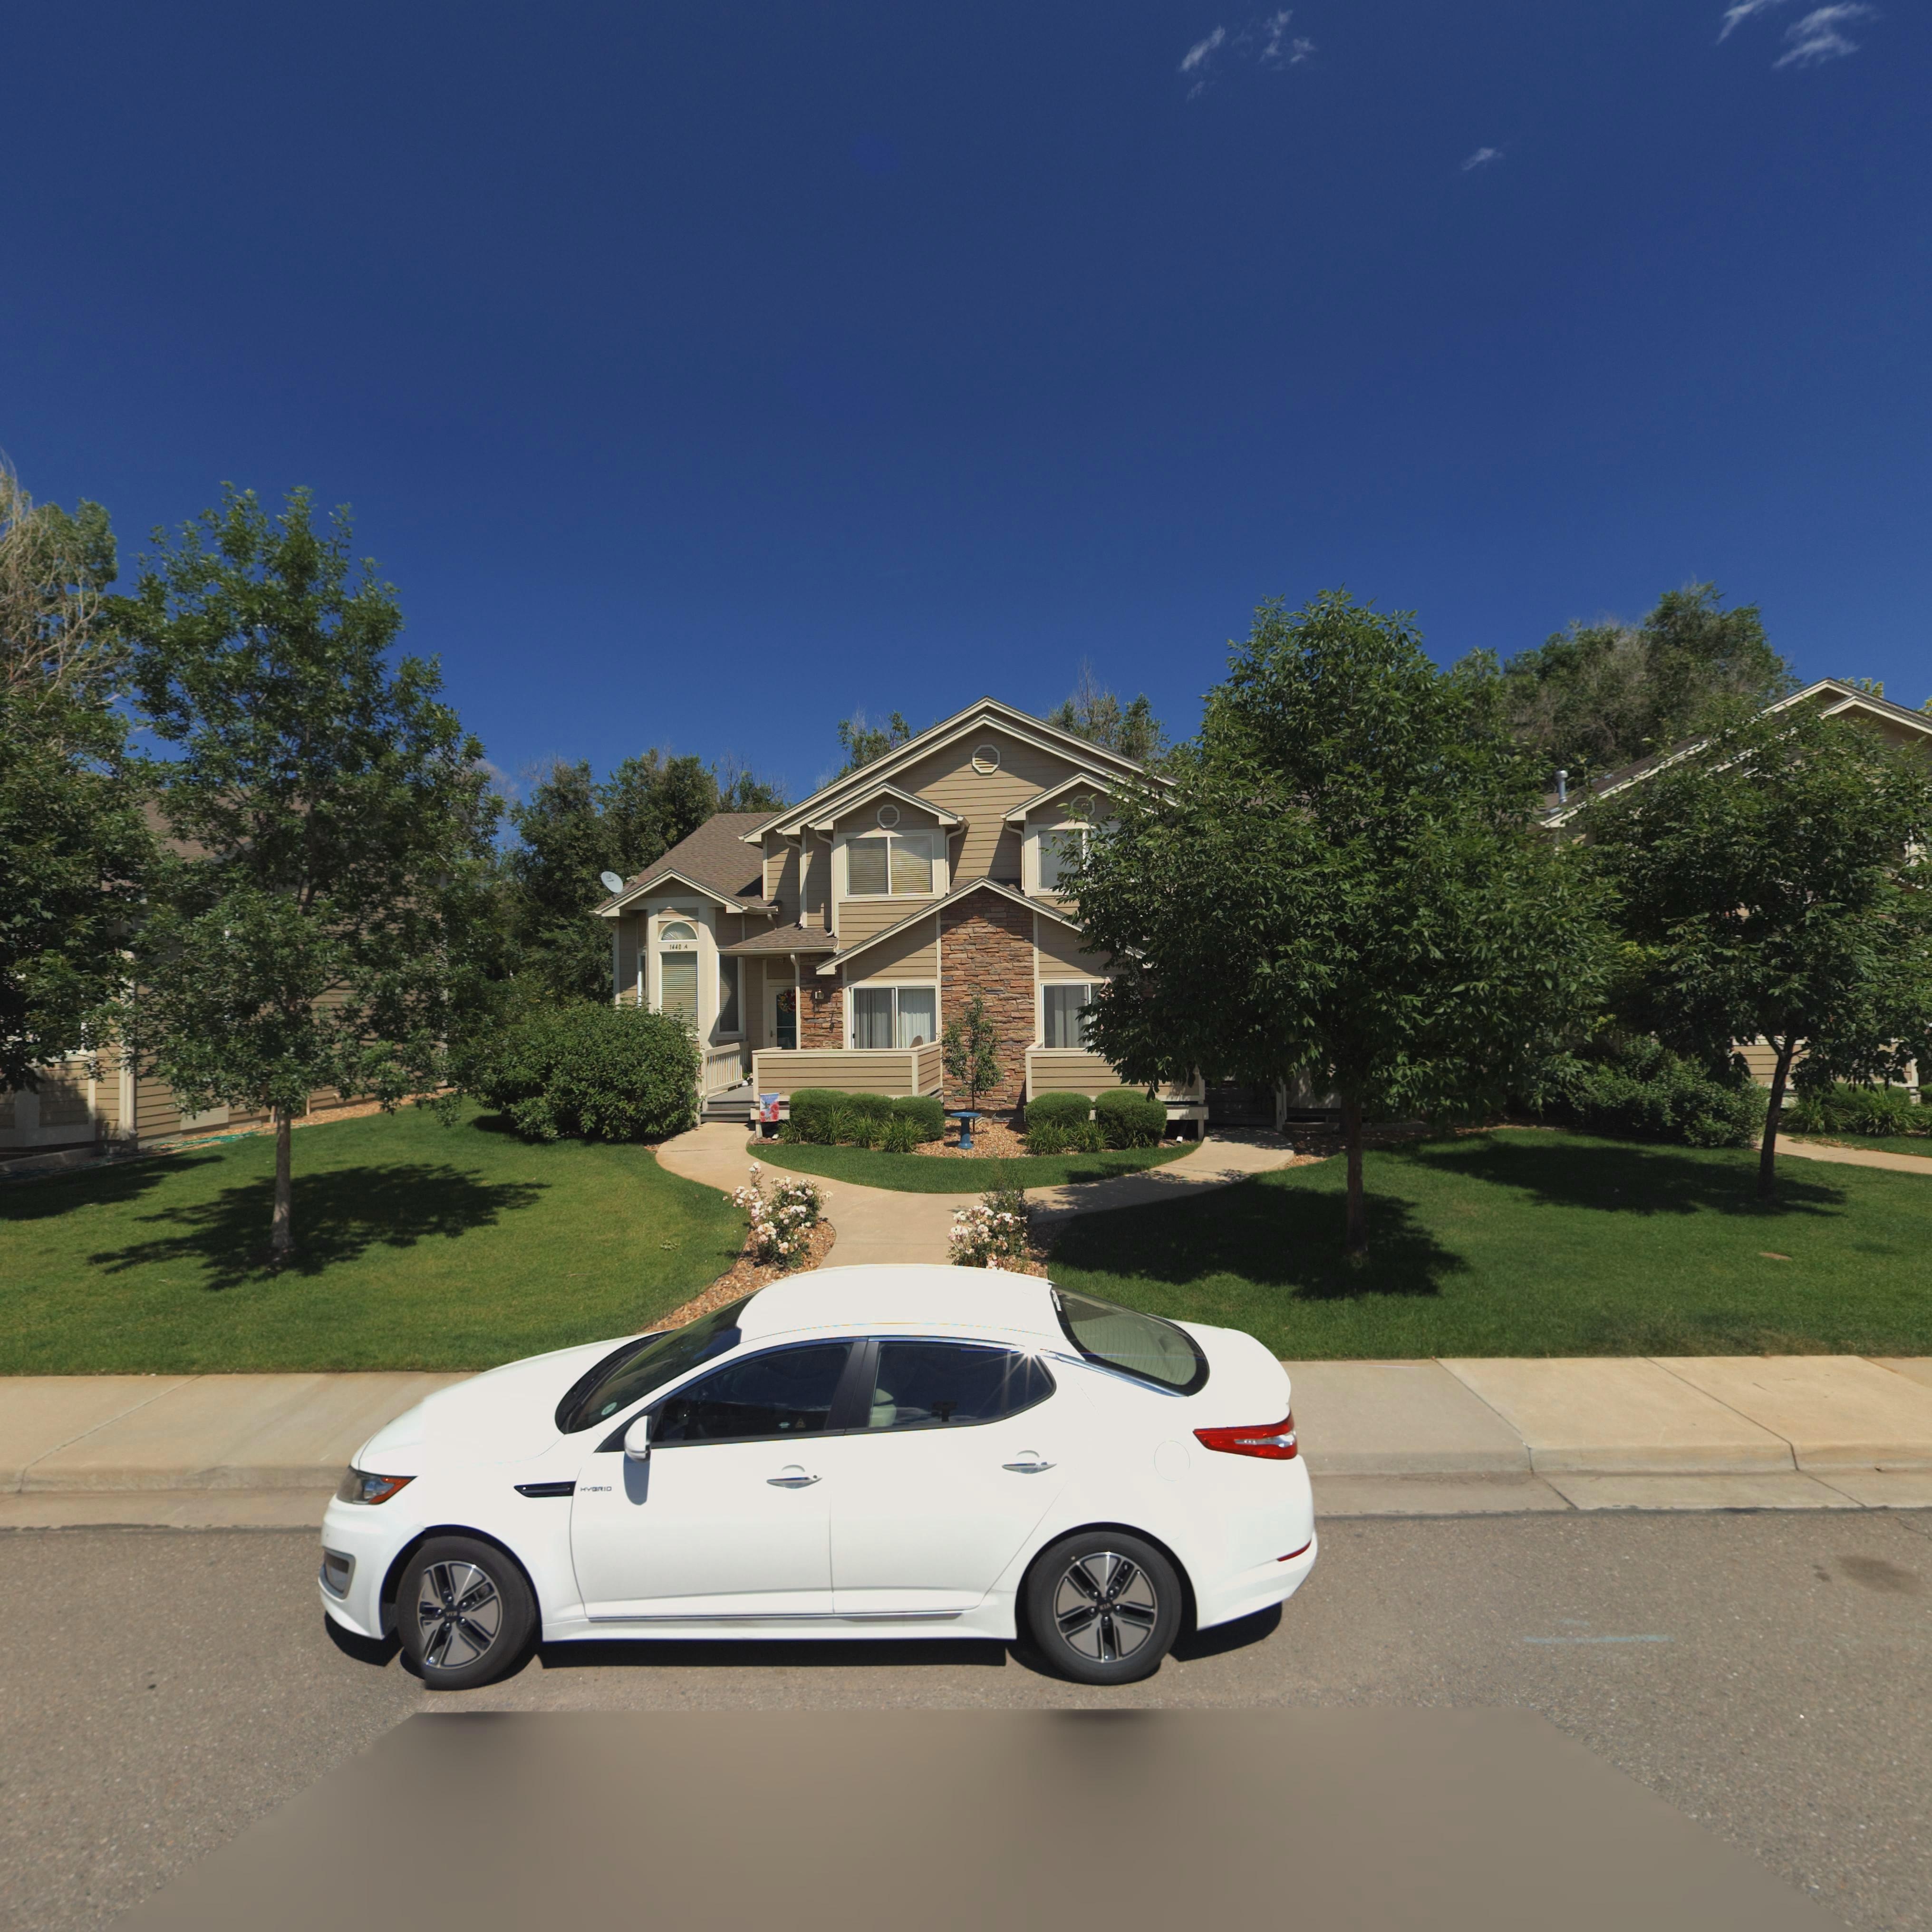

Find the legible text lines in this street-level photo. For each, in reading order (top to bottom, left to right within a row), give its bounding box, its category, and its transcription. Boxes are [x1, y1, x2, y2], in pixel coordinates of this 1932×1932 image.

[669, 943, 688, 950] StreetNumber: 1440 A